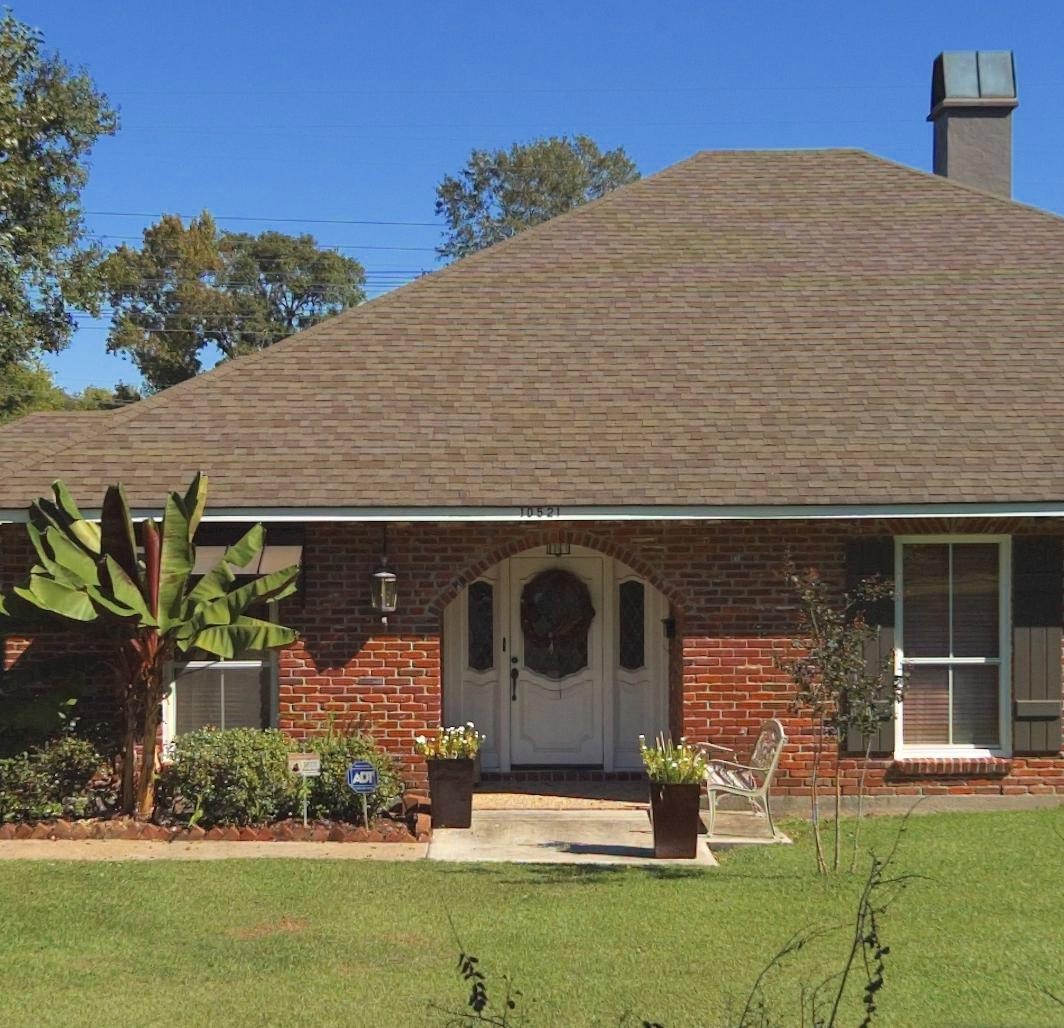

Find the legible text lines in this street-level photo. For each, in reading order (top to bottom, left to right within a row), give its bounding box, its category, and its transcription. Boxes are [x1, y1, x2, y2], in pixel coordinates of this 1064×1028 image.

[518, 505, 562, 520] StreetNumber: 10521
[350, 769, 376, 786] None: ADT